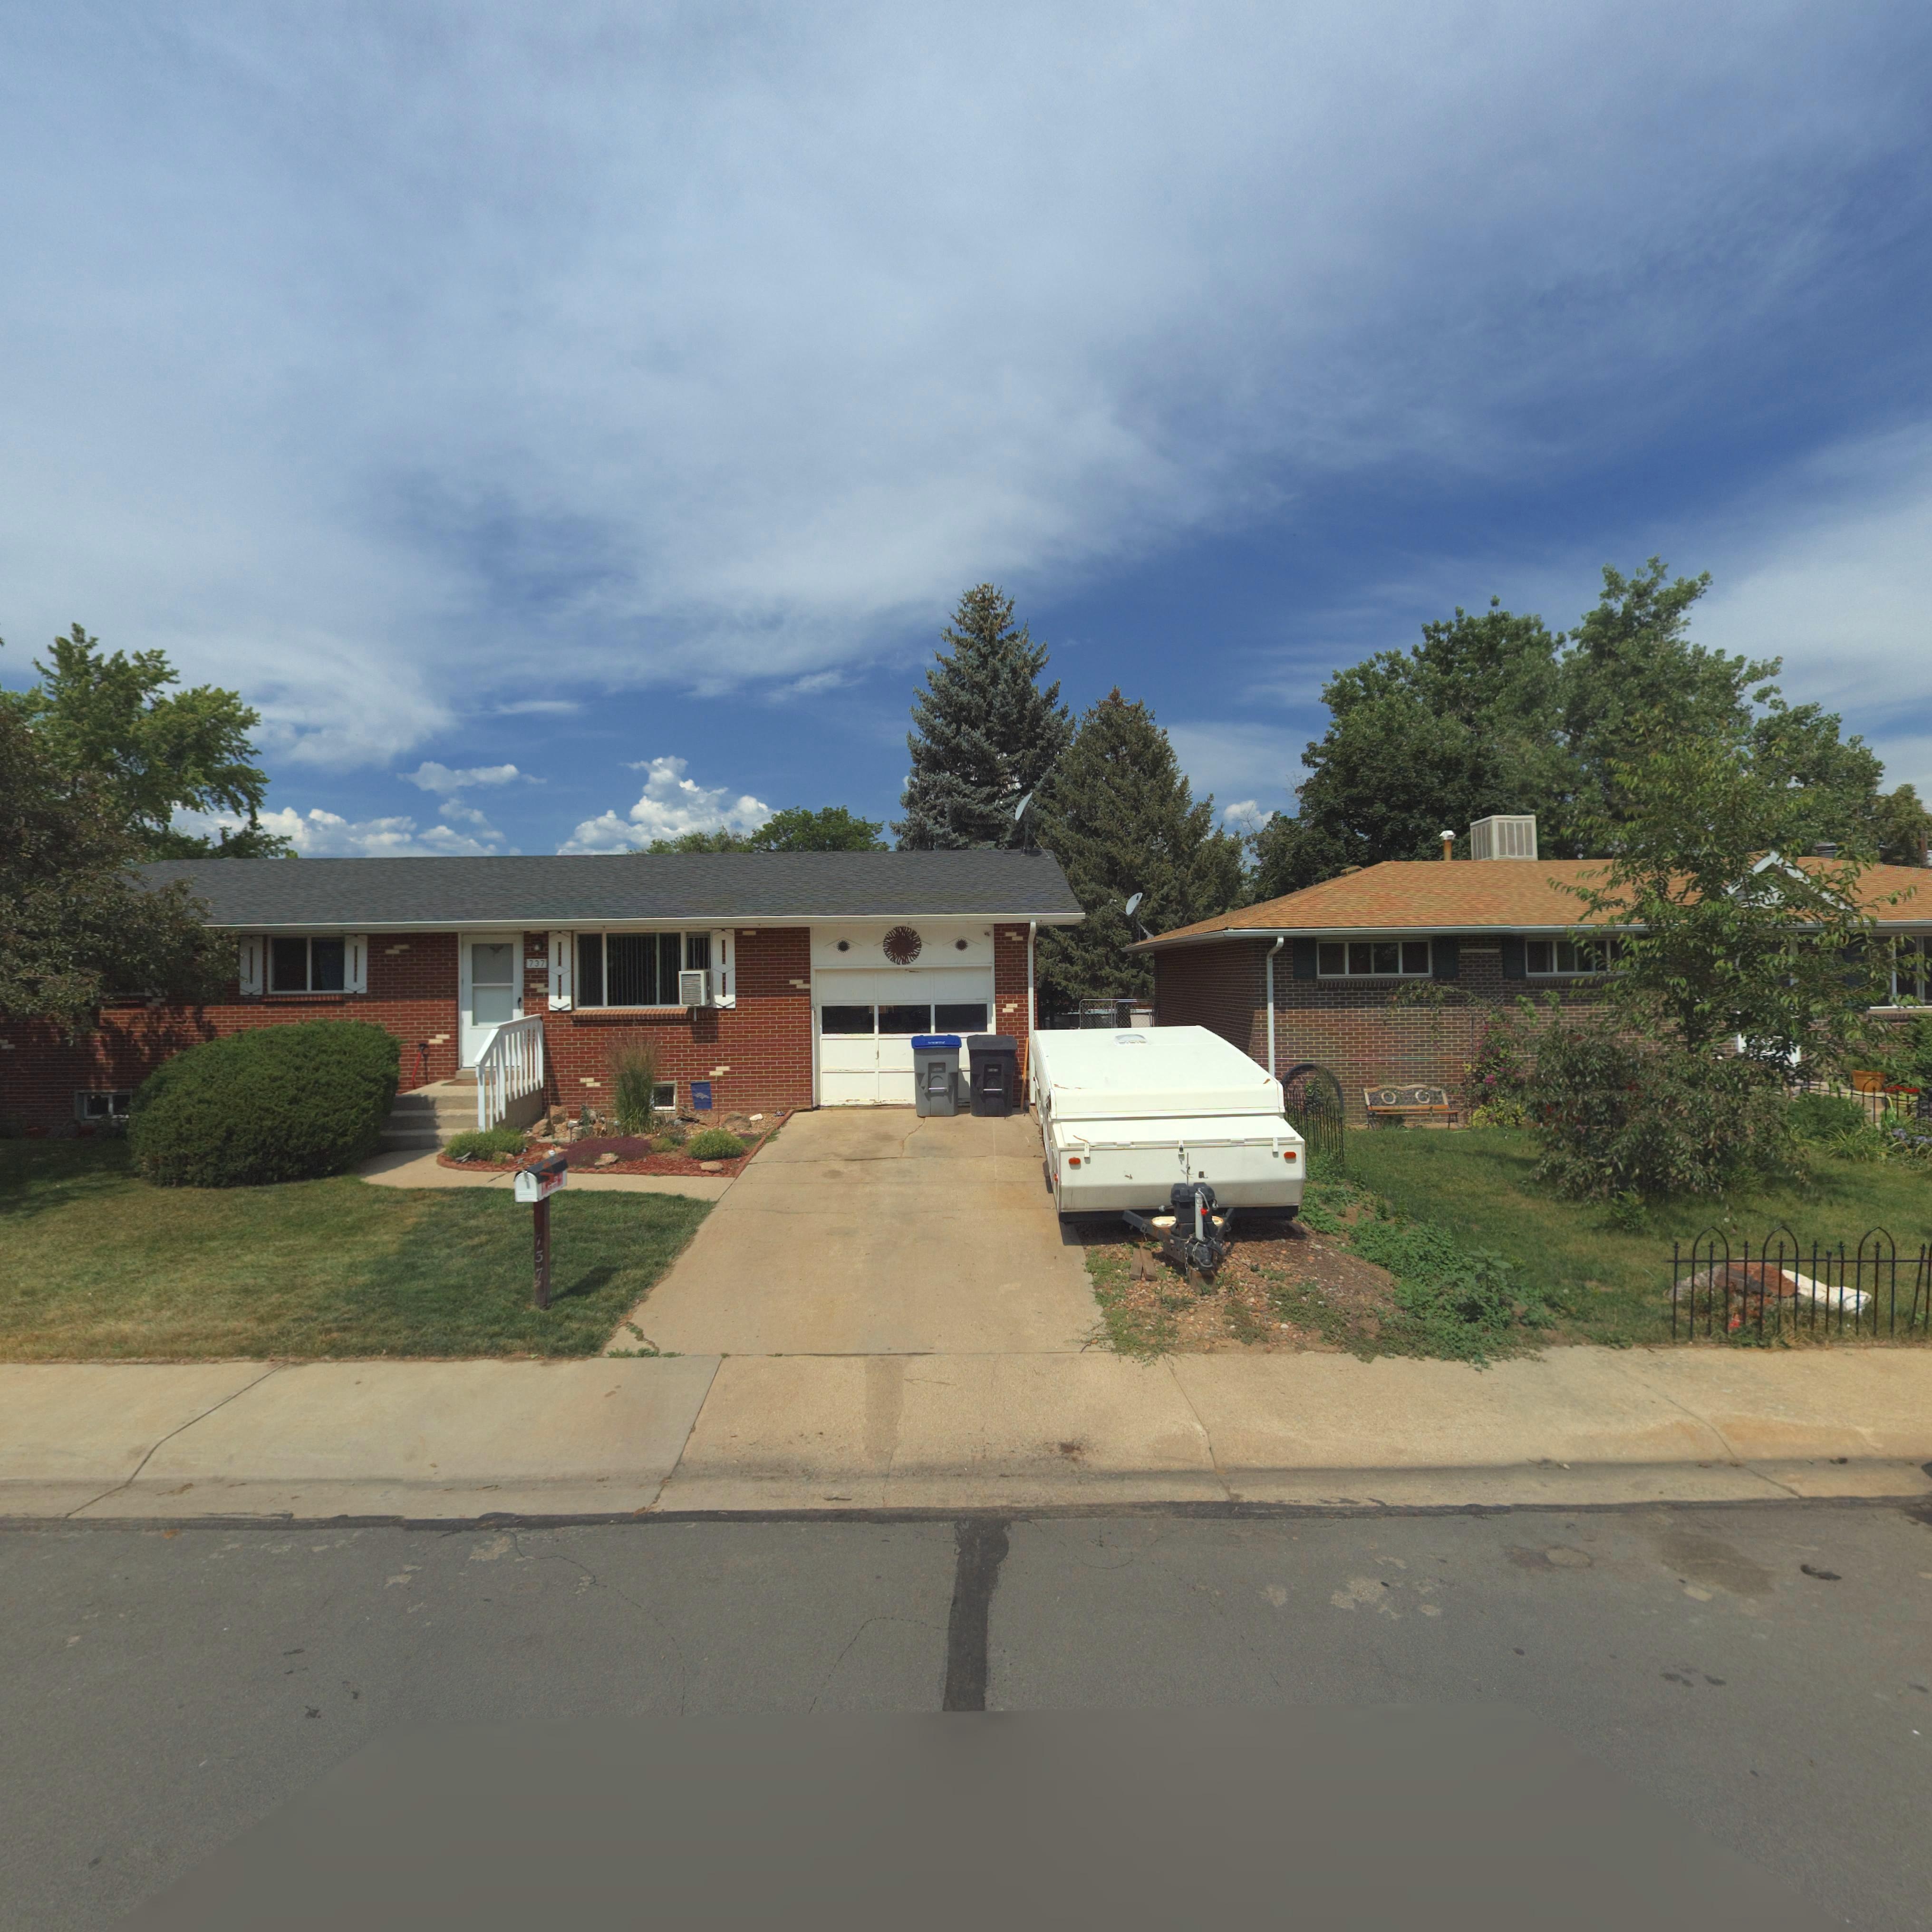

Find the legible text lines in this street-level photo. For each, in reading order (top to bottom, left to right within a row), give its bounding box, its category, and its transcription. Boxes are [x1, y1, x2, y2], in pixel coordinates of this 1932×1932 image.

[528, 959, 546, 967] StreetNumber: 737
[535, 1231, 544, 1282] StreetNumber: 737